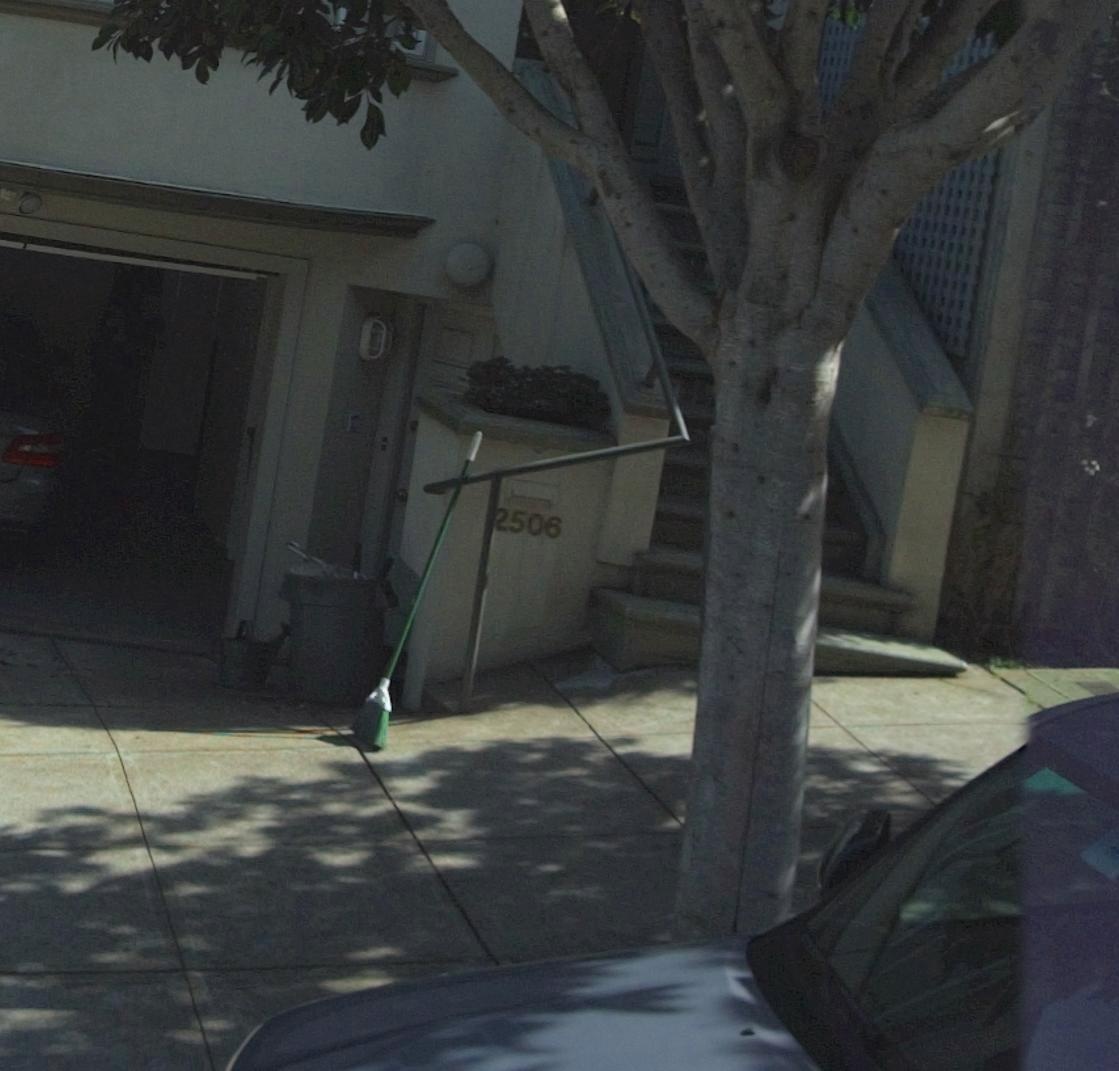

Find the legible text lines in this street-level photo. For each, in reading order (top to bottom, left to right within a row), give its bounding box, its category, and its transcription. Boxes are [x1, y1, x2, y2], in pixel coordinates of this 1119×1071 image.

[494, 506, 563, 542] StreetNumber: 2506